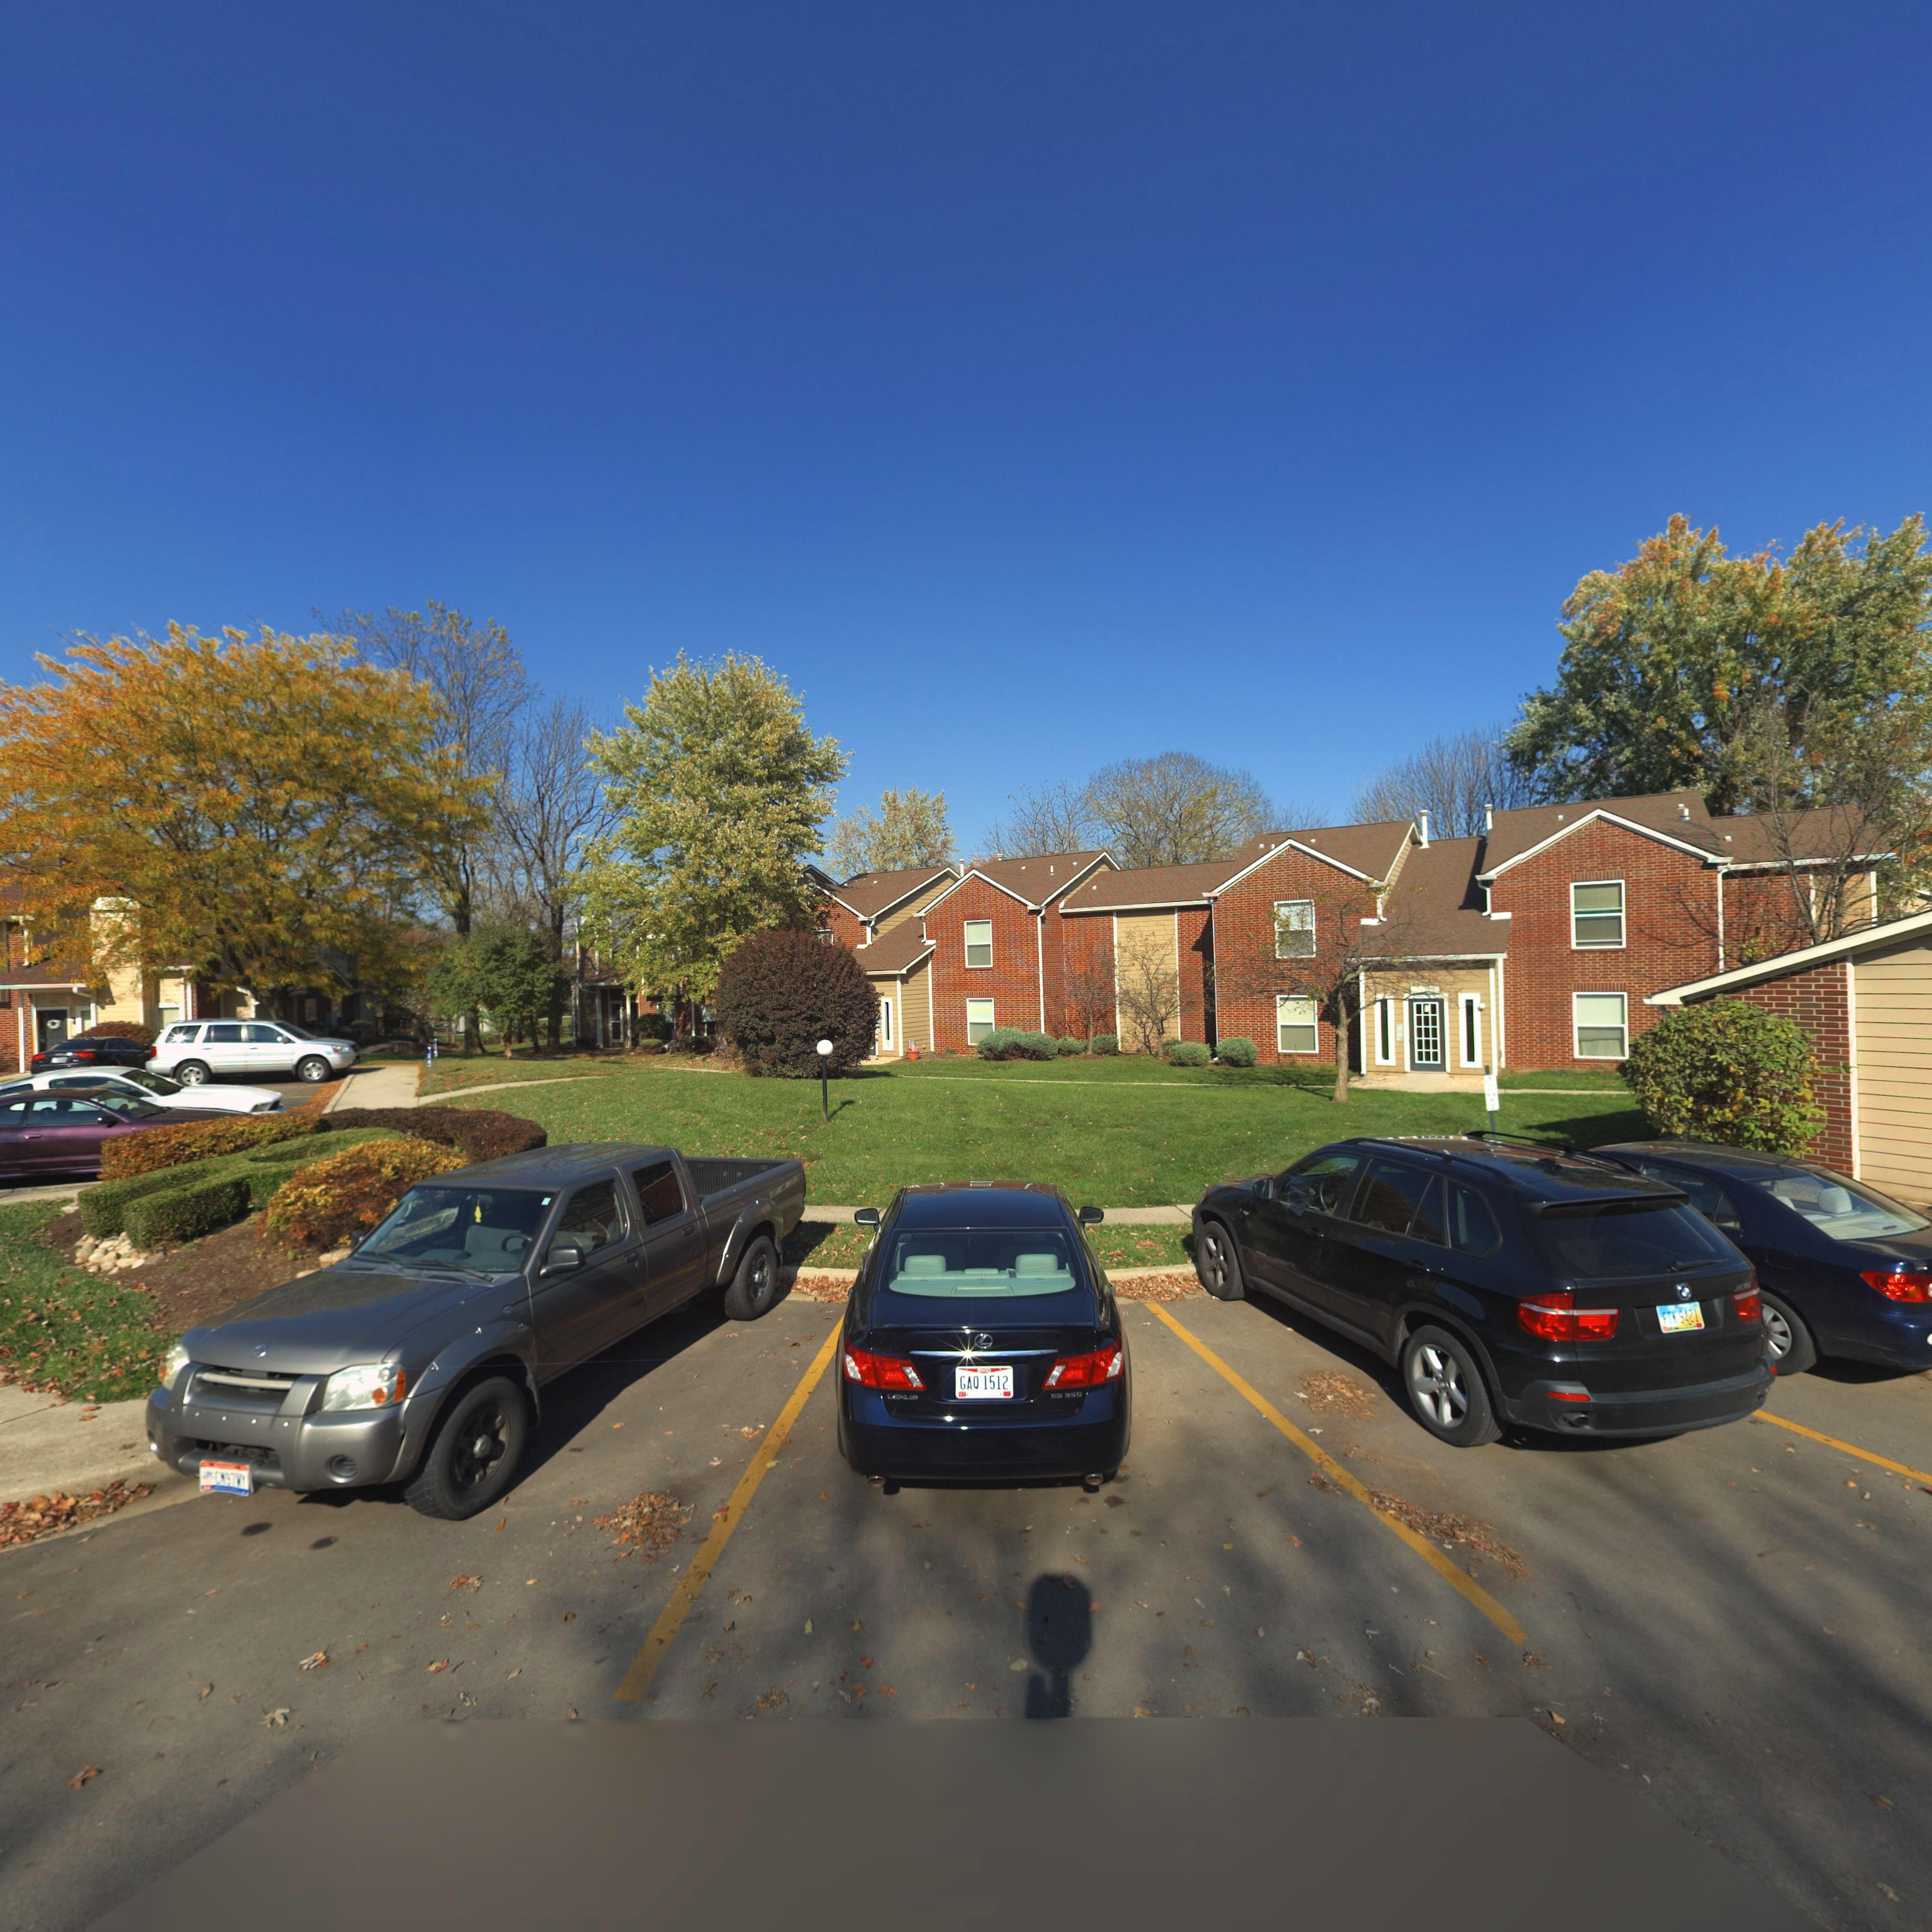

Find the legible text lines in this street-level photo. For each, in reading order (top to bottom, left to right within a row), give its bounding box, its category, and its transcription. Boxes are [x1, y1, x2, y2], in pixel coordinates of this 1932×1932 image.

[1660, 1307, 1701, 1328] None: FTK 9421
[977, 1366, 992, 1374] None: OHIO
[959, 1374, 1010, 1392] None: GAQ 1512